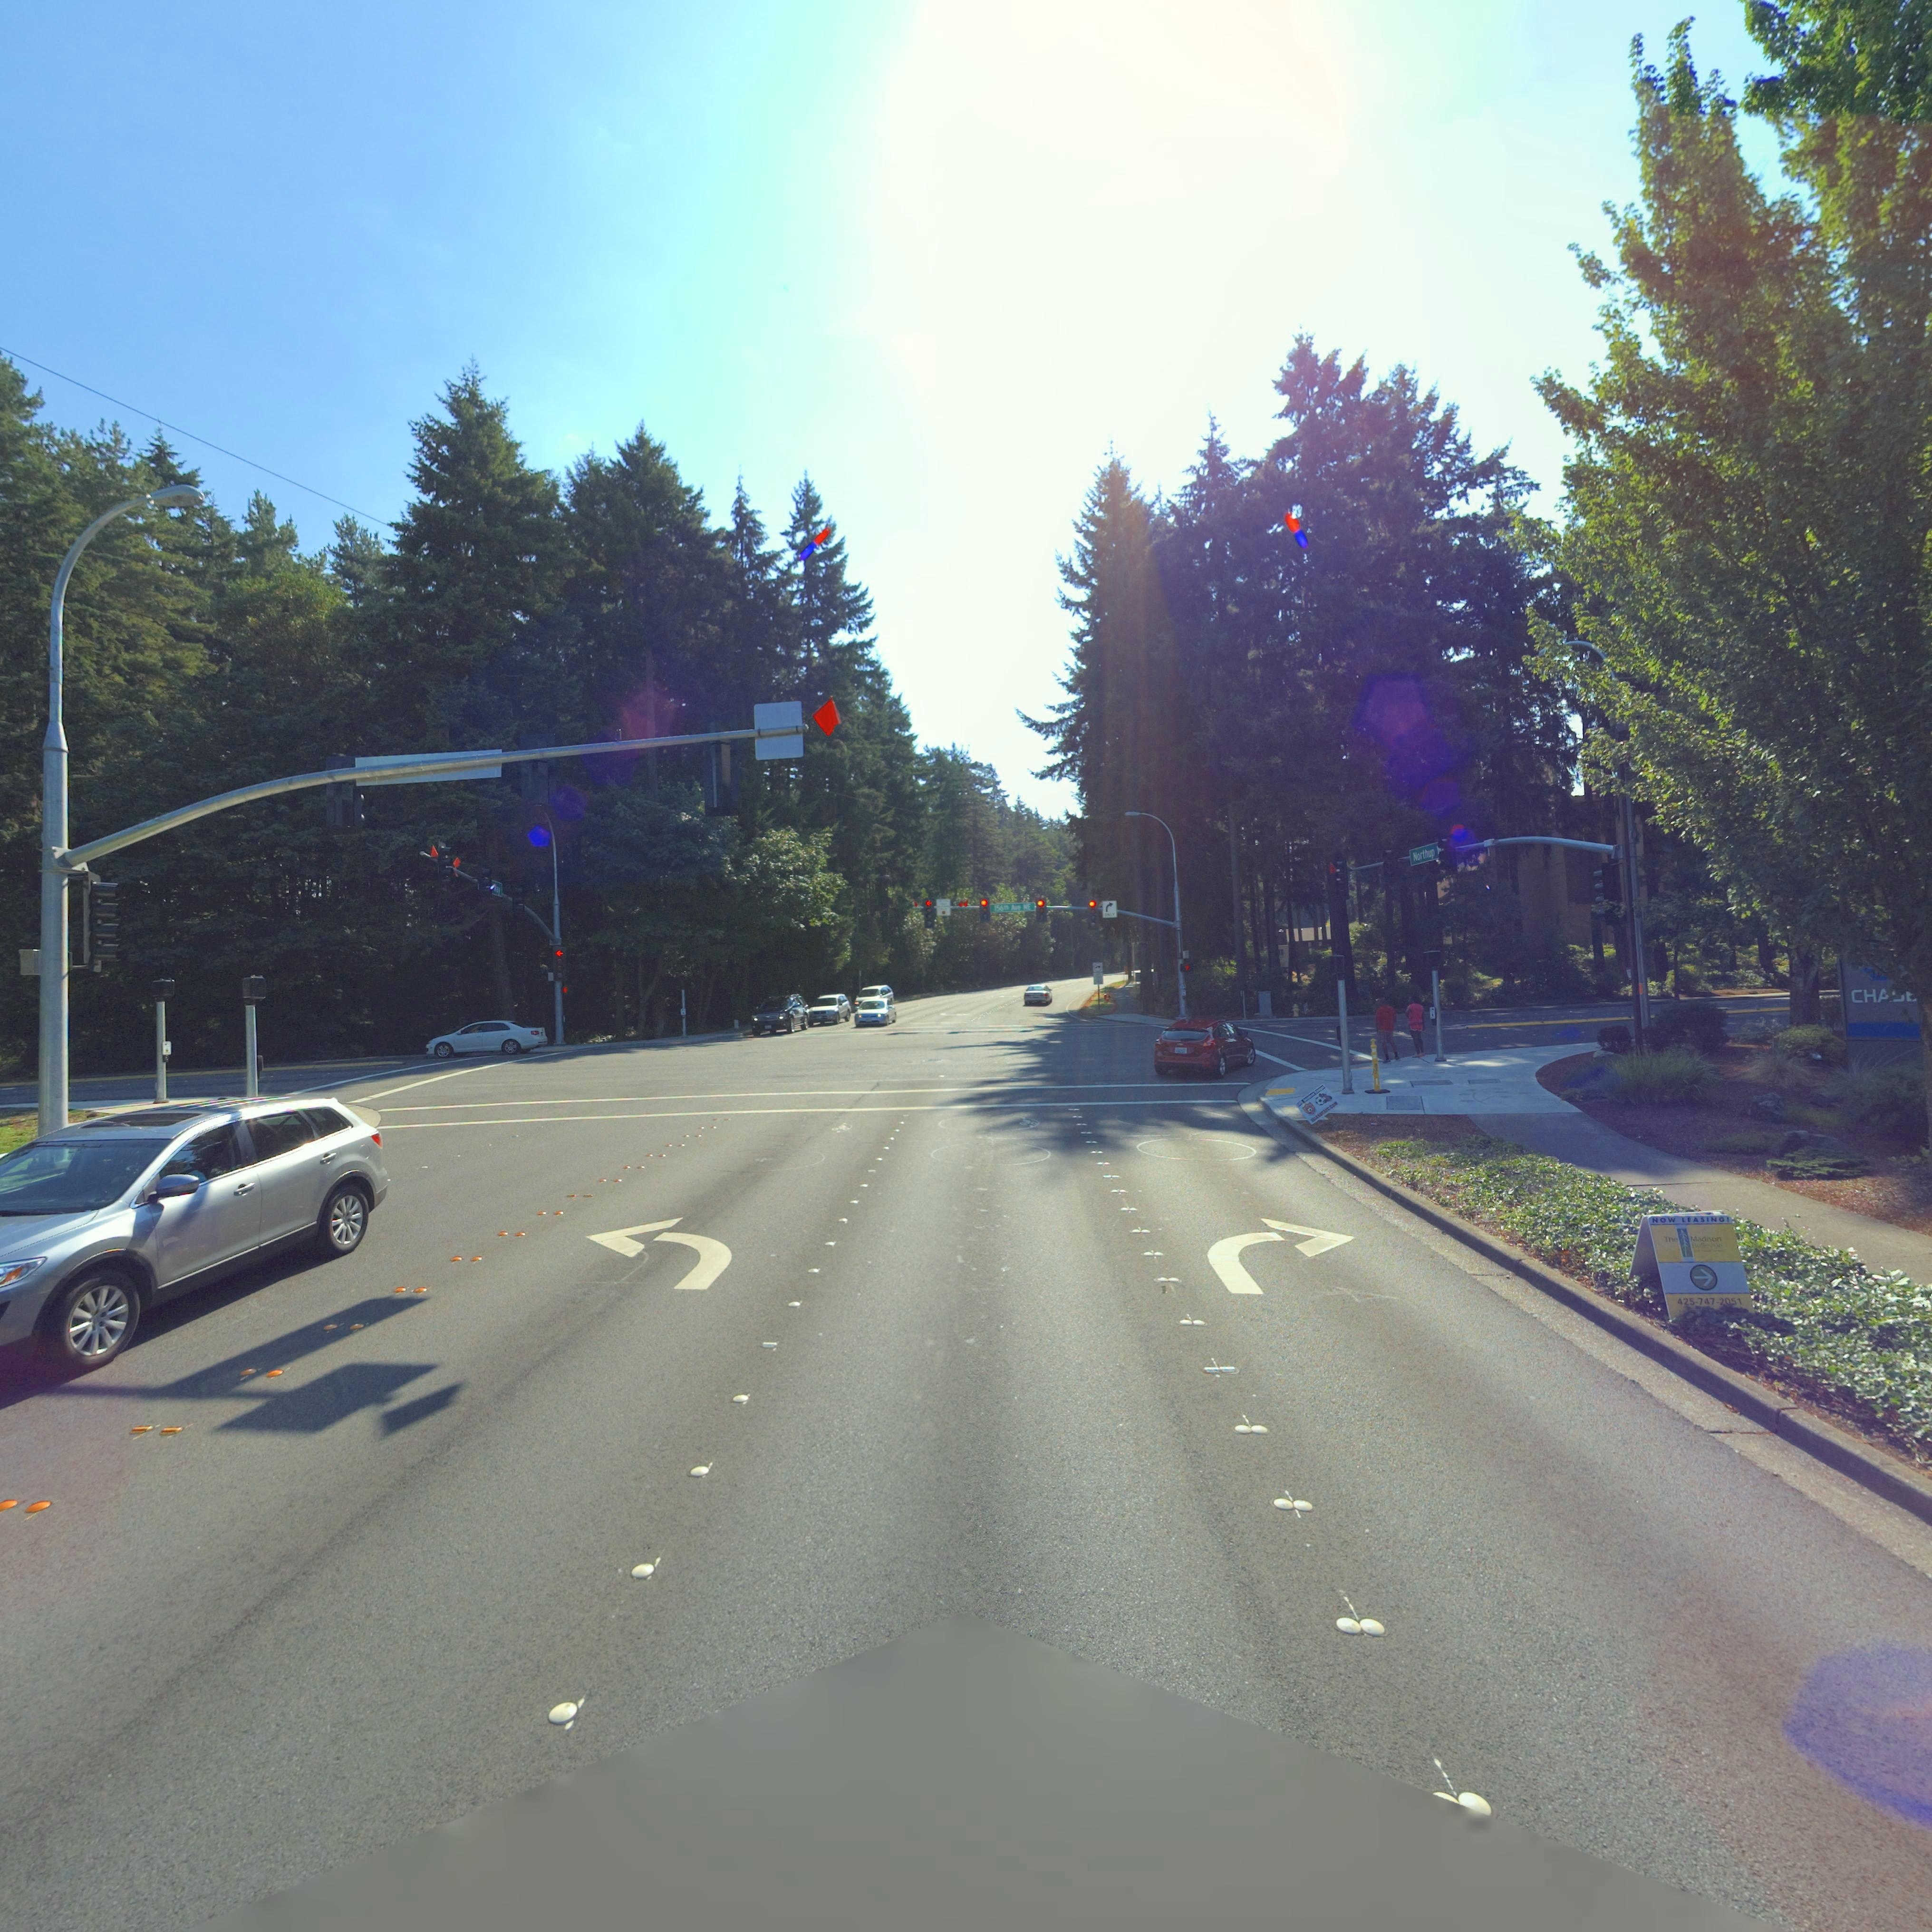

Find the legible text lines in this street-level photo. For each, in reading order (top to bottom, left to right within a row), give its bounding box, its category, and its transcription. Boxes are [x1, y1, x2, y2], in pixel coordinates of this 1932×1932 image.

[1413, 849, 1435, 861] StreetName: Northup
[995, 904, 1031, 911] StreetName: 156th Ave NE
[1851, 987, 1916, 1003] BusinessName: CHA**